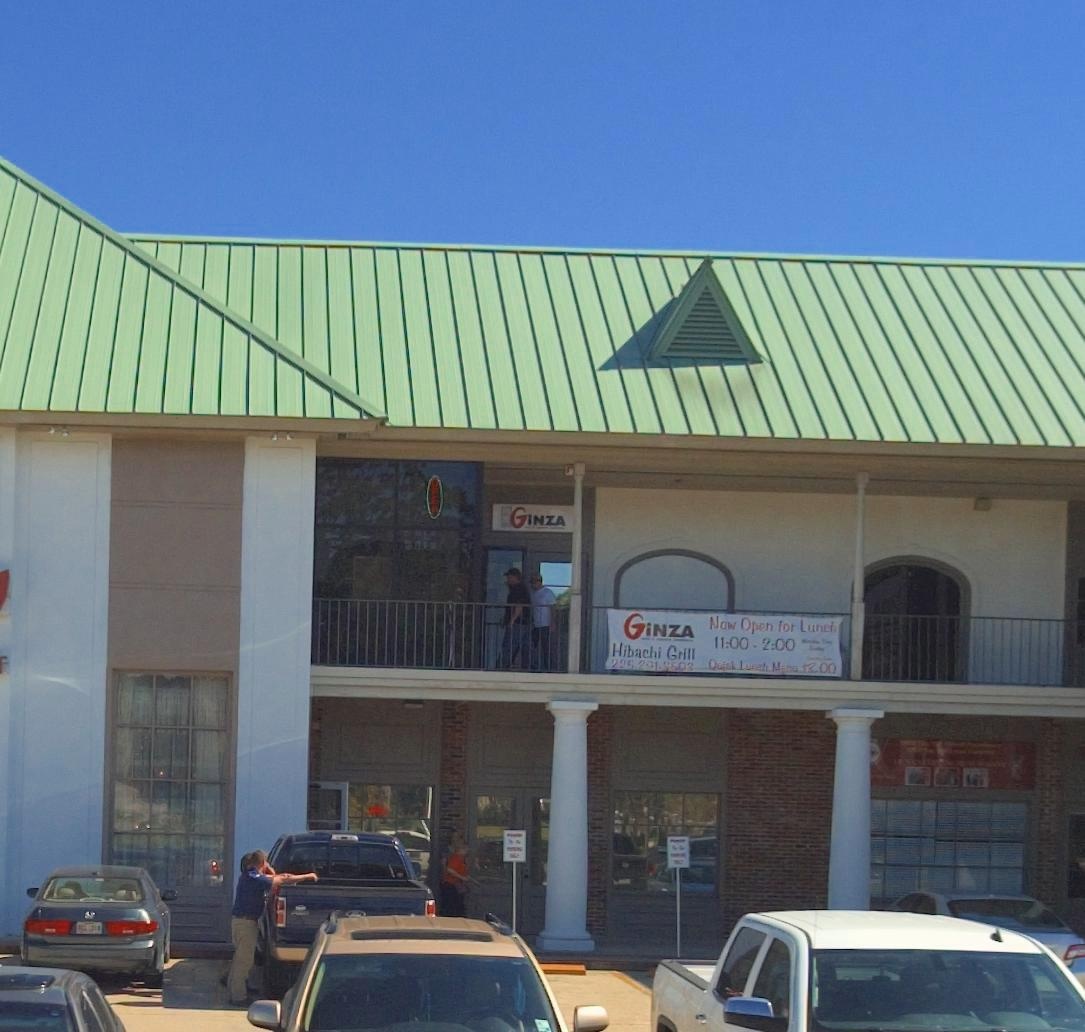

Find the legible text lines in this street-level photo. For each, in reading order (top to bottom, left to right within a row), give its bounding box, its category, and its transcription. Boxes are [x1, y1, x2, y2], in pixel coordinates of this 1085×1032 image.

[429, 476, 440, 515] None: OPEN
[507, 505, 568, 531] BusinessName: GiNZA
[622, 609, 700, 643] BusinessName: GiNZA
[708, 613, 841, 637] None: Now Open for Lunch
[609, 638, 698, 663] None: Hibachi Grill
[712, 633, 798, 653] None: 11:00 - 2:00
[609, 656, 696, 675] None: 225-2*1-**03
[805, 659, 839, 676] None: 2.00